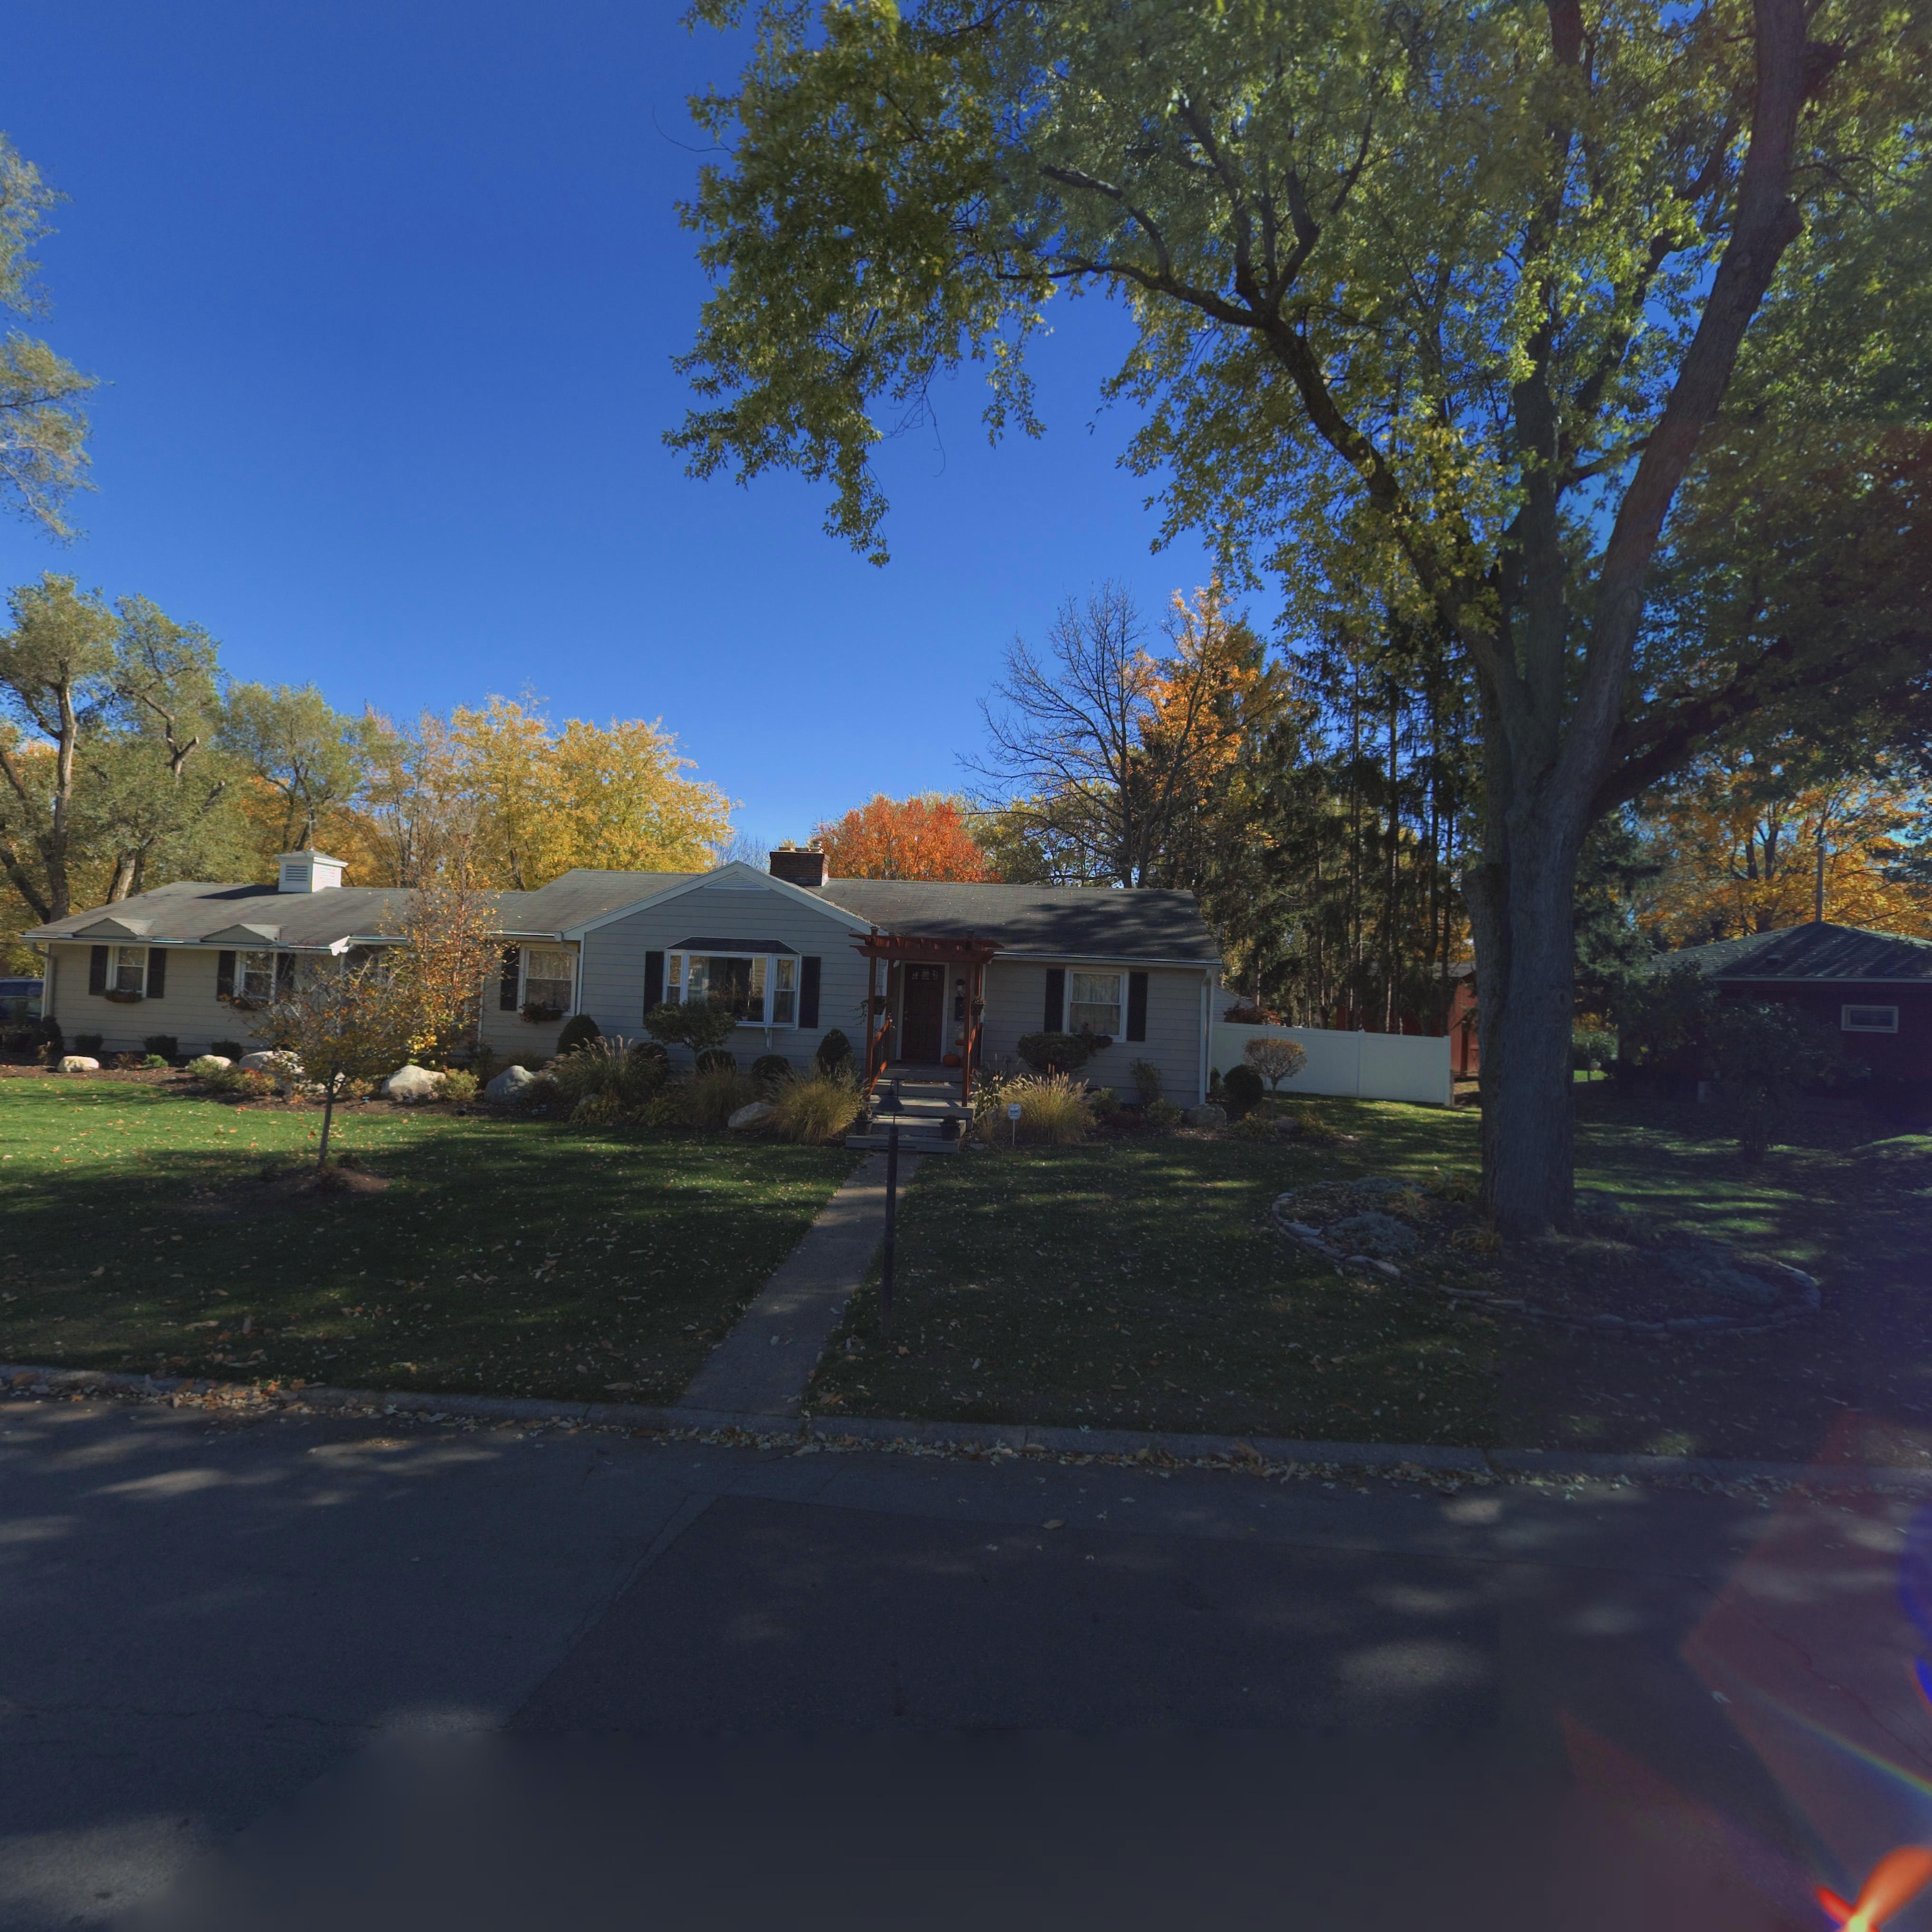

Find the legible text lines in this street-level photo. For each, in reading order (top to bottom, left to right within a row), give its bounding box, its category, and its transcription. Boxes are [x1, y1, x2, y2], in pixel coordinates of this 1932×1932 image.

[955, 991, 964, 997] StreetNumber: 50